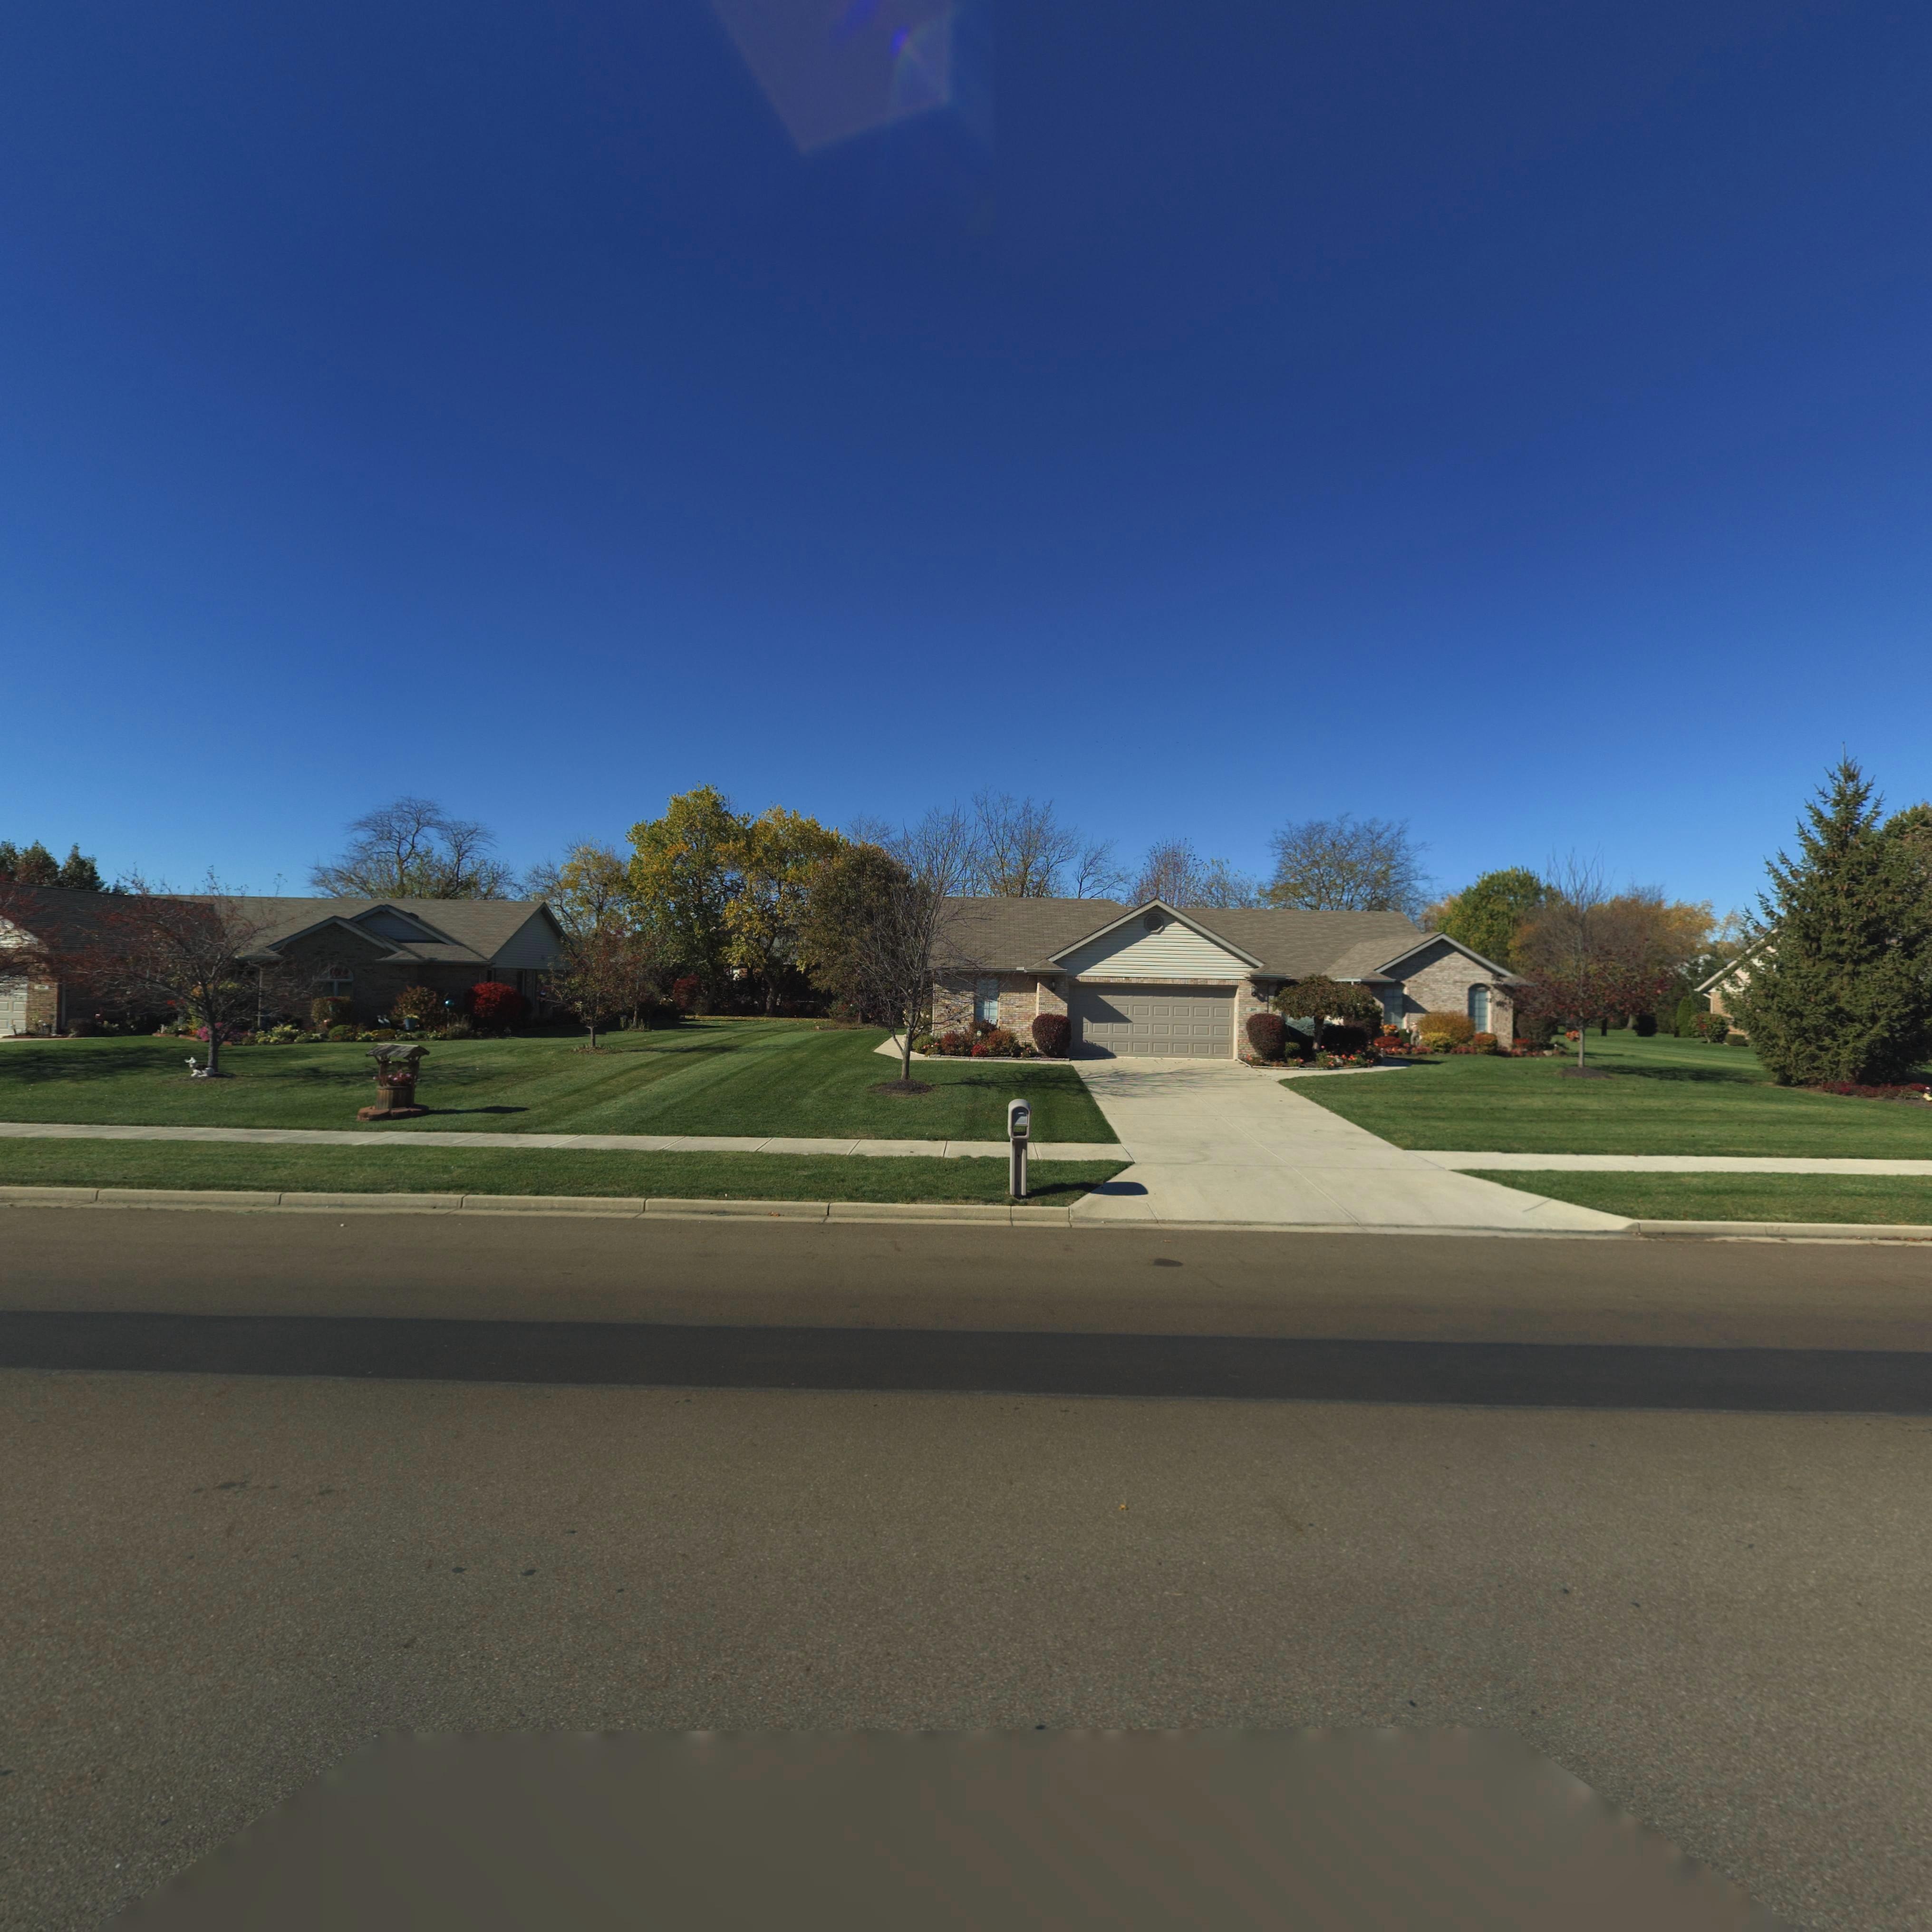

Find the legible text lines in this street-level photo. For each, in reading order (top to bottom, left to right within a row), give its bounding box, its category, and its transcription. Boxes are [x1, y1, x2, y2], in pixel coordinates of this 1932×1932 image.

[1250, 1007, 1257, 1011] StreetNumber: 3**